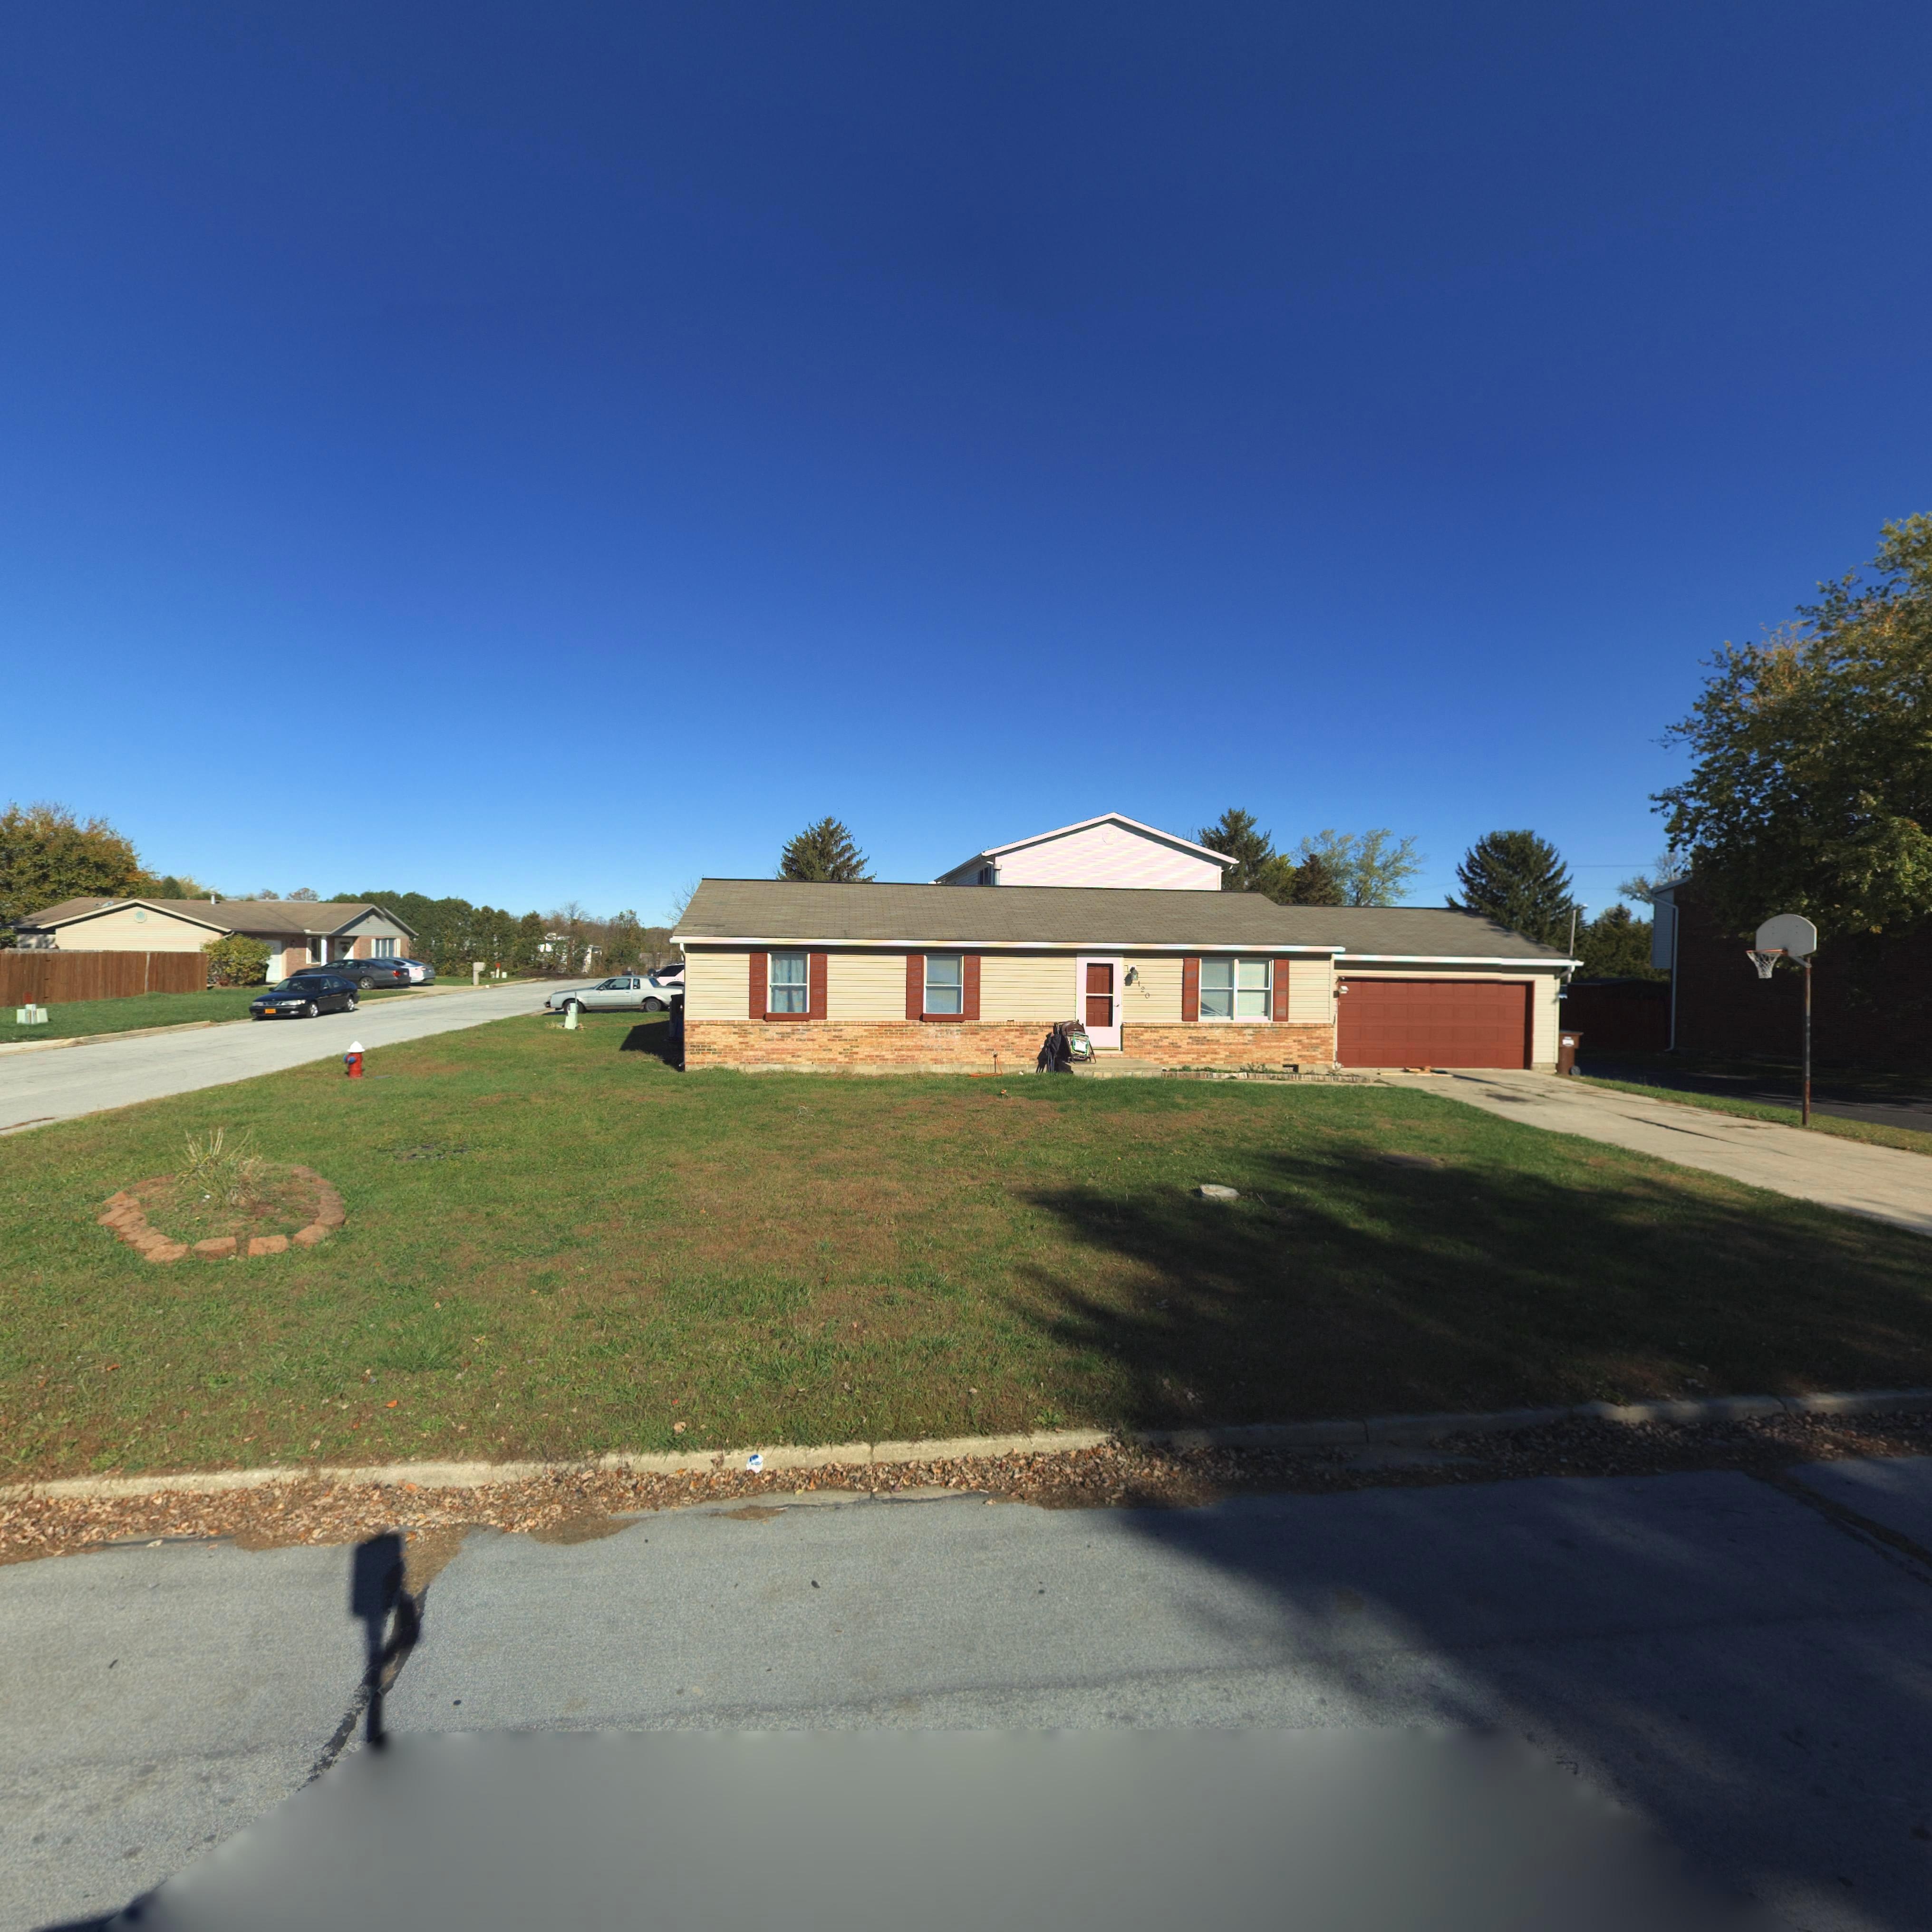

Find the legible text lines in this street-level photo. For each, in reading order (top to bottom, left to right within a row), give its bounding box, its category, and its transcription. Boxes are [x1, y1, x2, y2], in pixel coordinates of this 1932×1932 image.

[1137, 980, 1150, 999] StreetNumber: 120